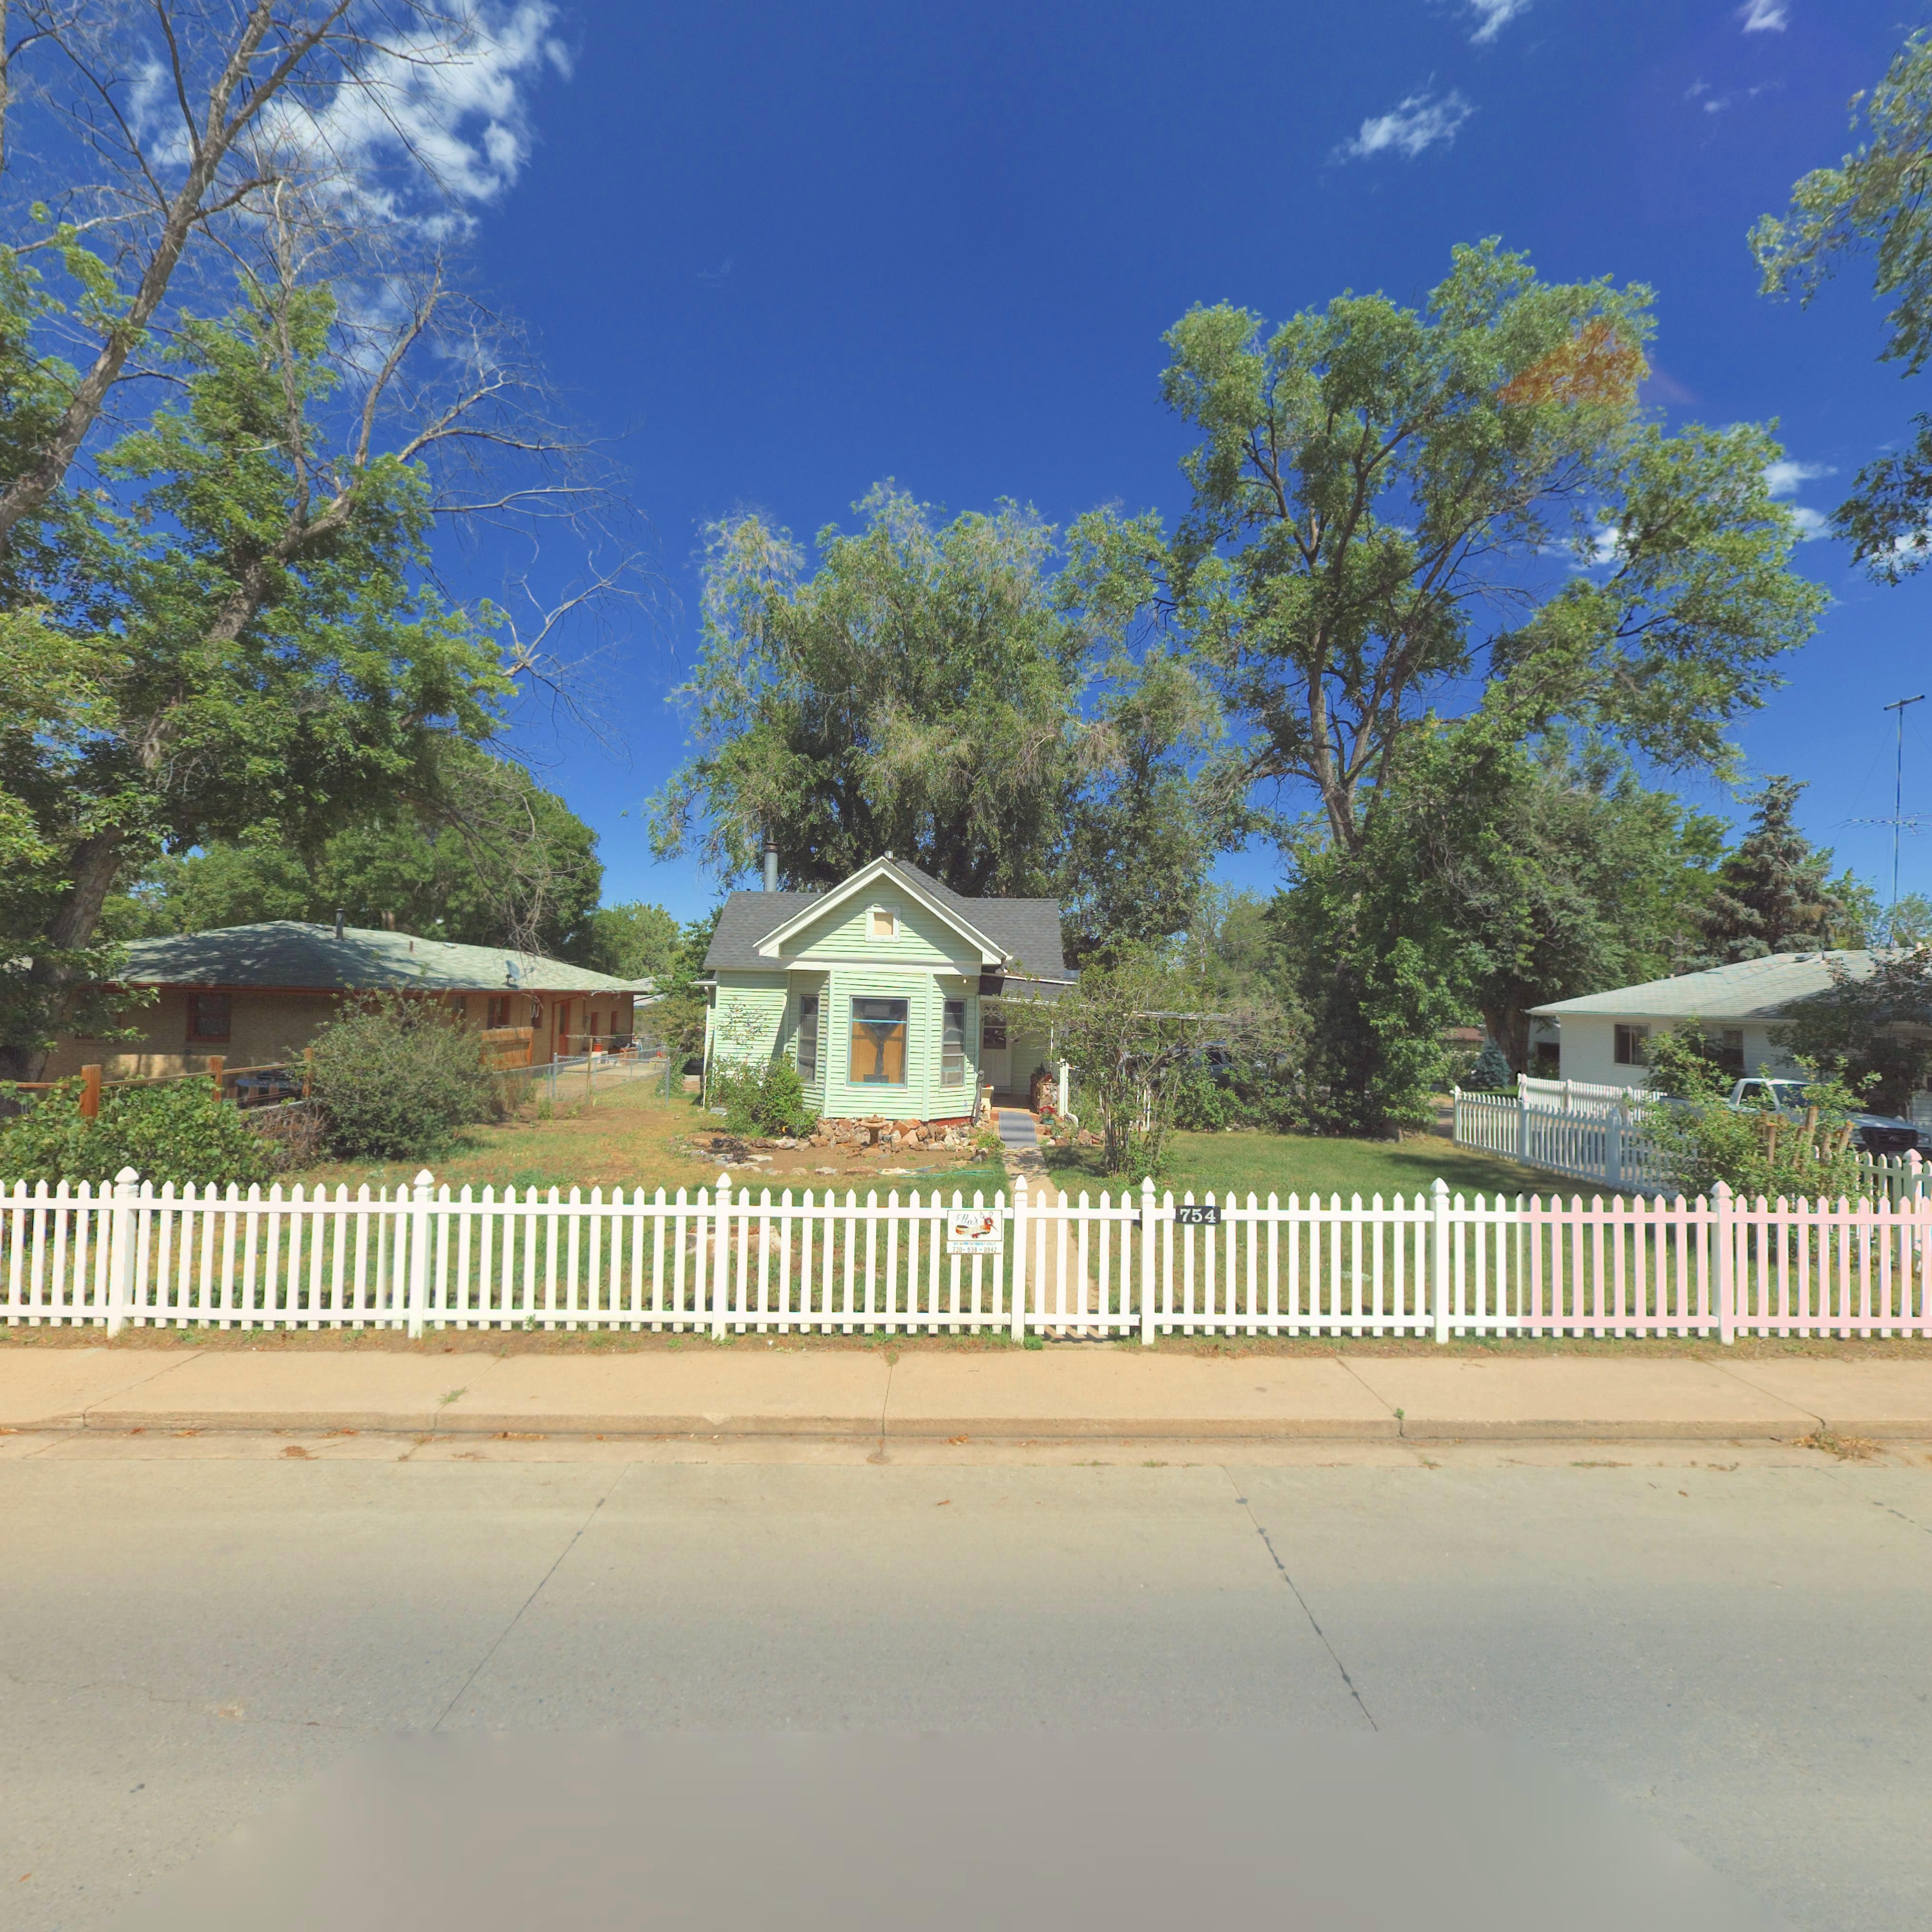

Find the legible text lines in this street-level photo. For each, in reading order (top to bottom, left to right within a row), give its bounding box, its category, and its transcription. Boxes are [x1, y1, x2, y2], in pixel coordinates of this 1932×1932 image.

[955, 1212, 979, 1227] BusinessName: Ella's
[1179, 1207, 1217, 1224] StreetNumber: 754